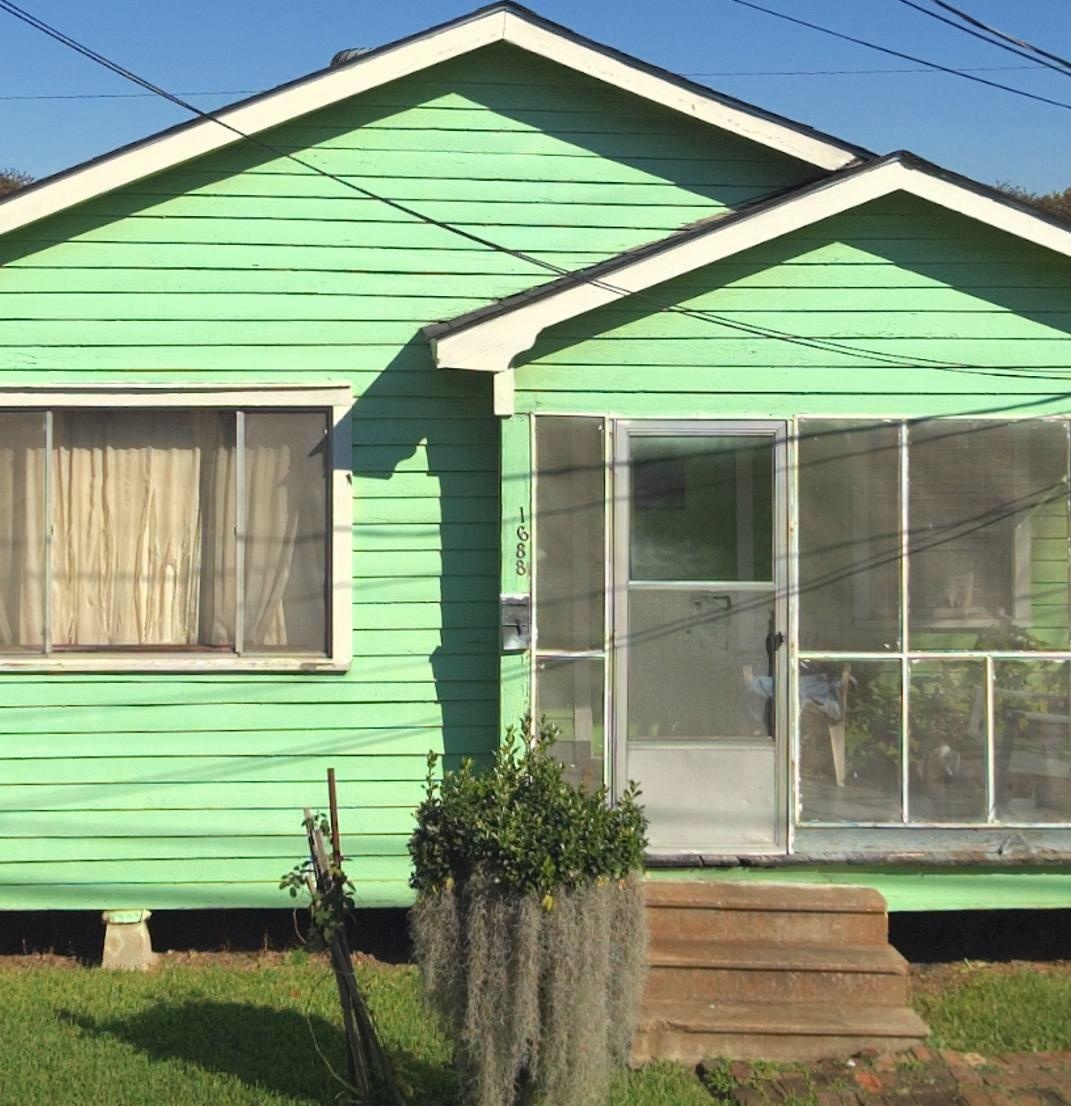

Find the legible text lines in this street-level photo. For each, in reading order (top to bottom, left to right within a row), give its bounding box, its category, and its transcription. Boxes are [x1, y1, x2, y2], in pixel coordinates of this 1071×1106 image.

[515, 504, 530, 577] StreetNumber: 1688